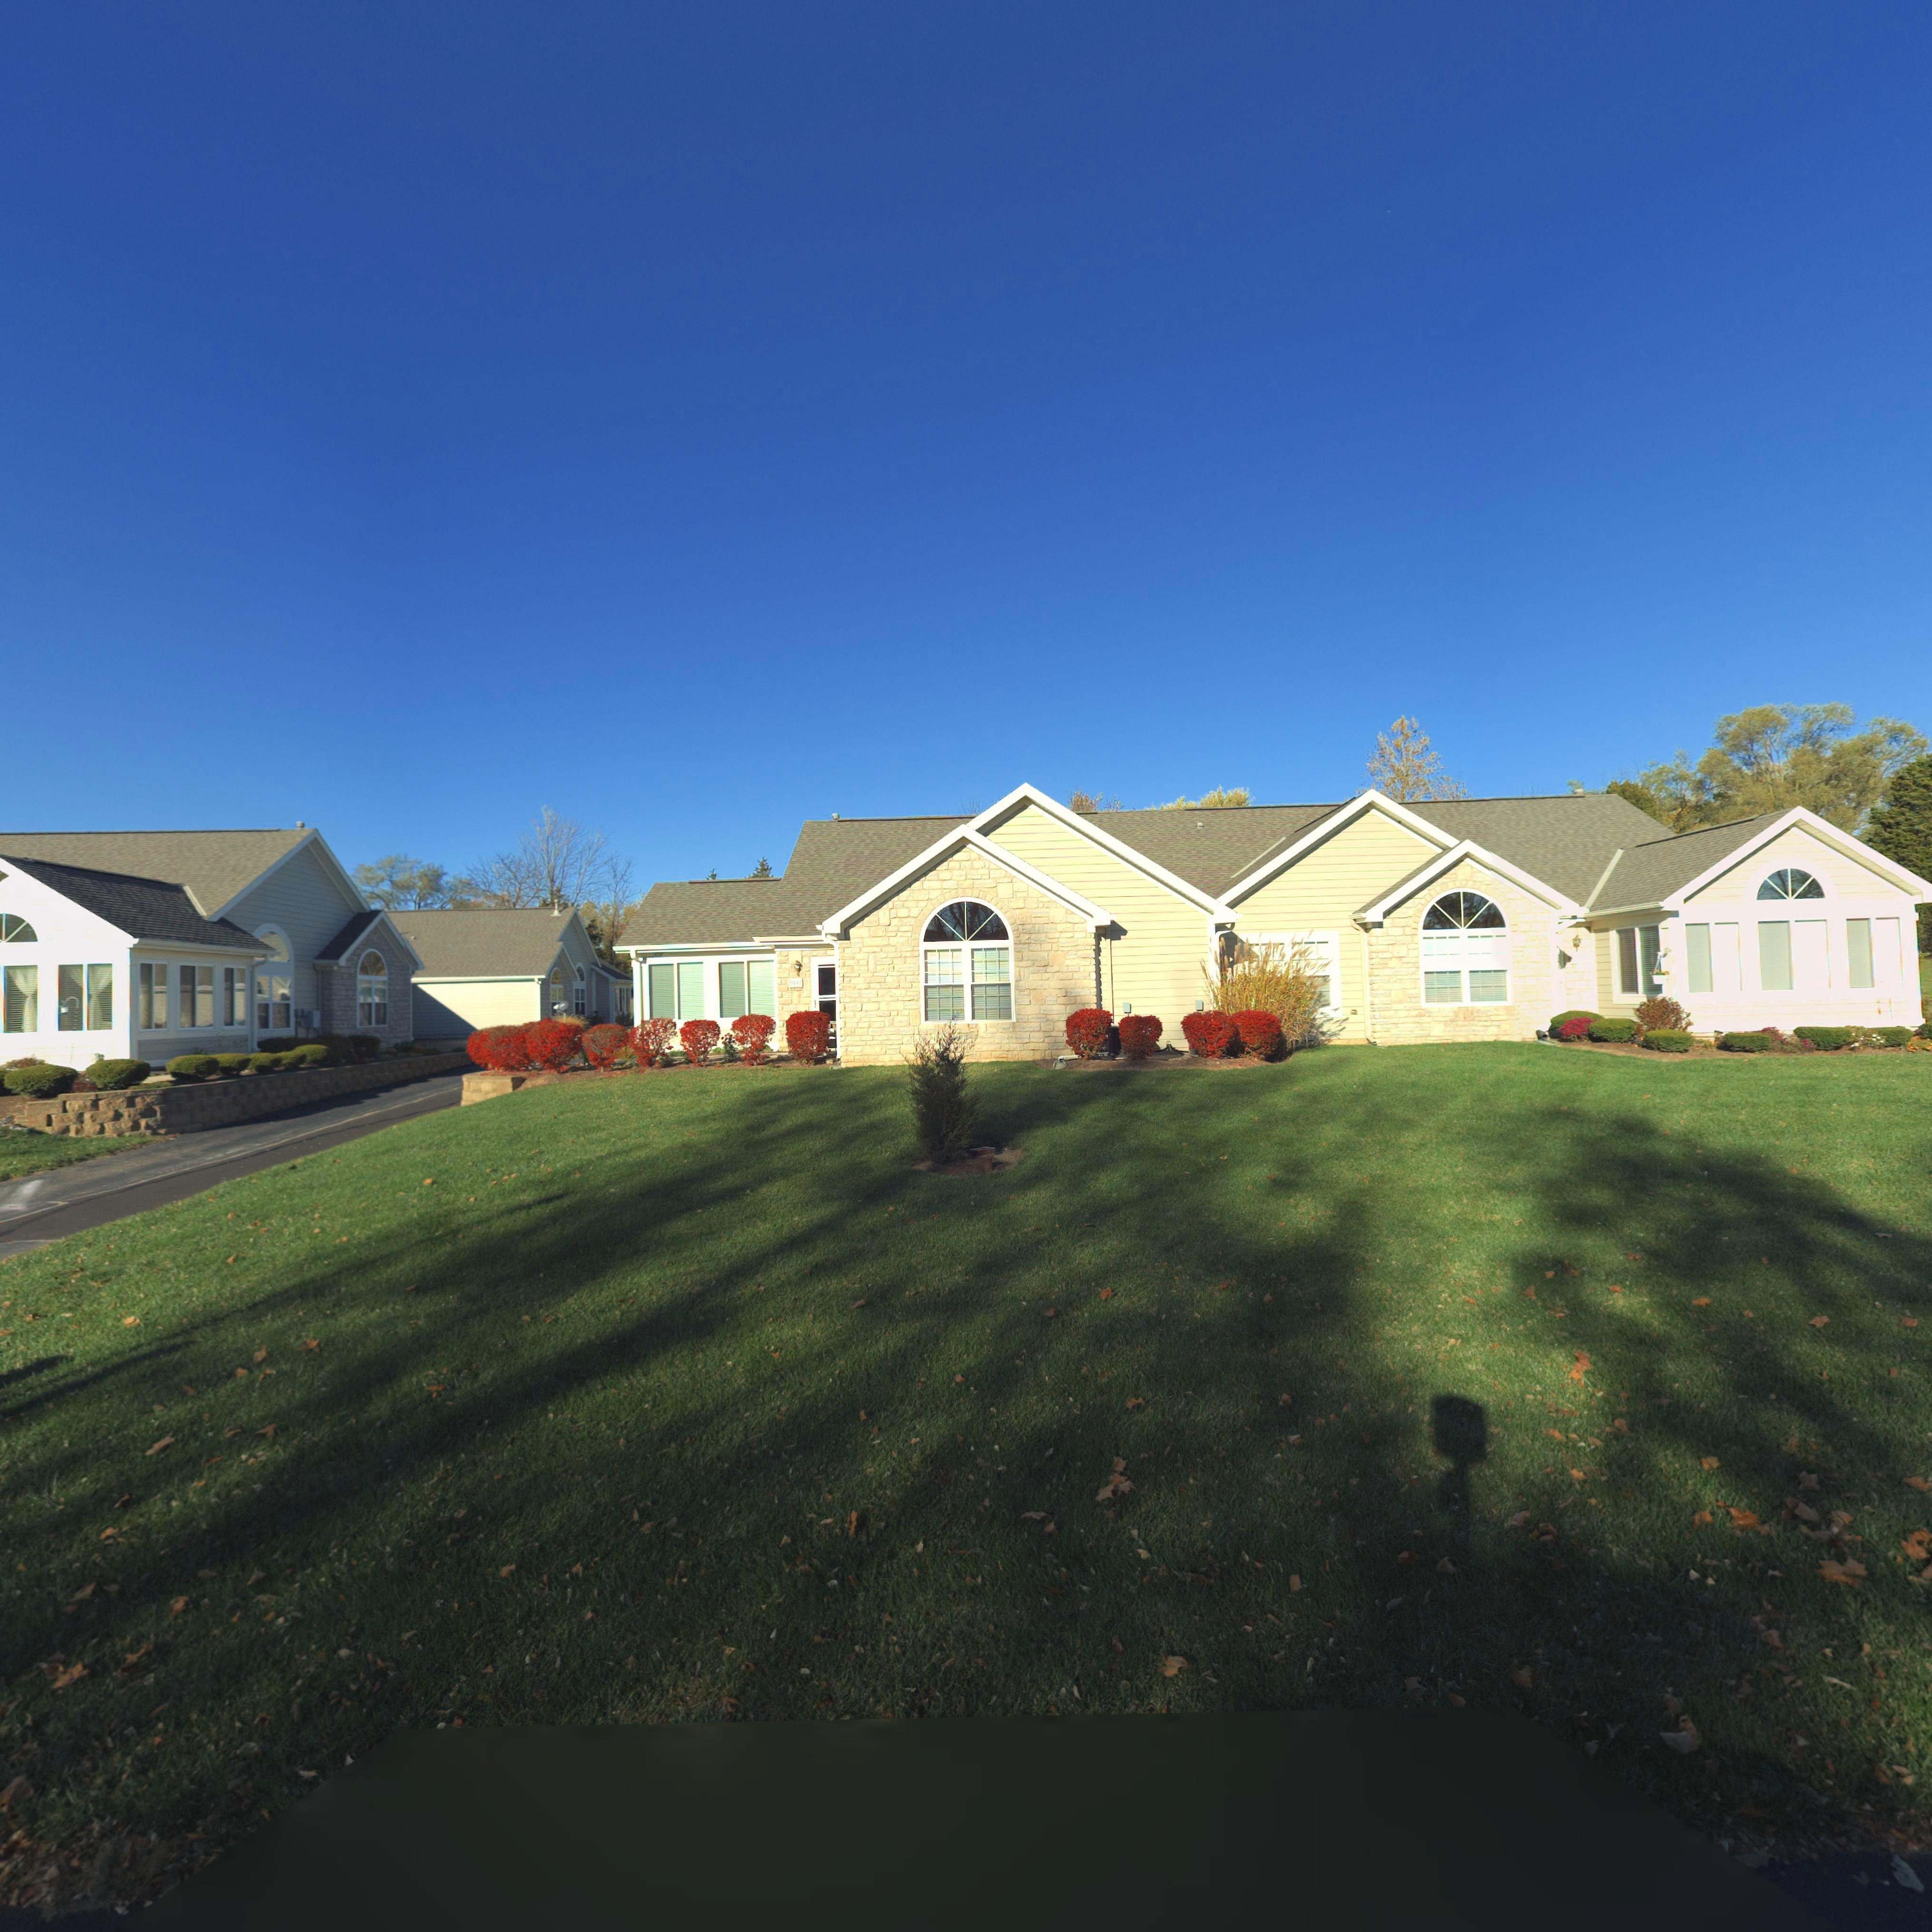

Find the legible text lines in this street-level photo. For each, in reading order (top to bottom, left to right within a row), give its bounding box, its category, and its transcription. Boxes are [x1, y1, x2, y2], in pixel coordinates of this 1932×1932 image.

[788, 979, 803, 987] StreetNumber: 50**